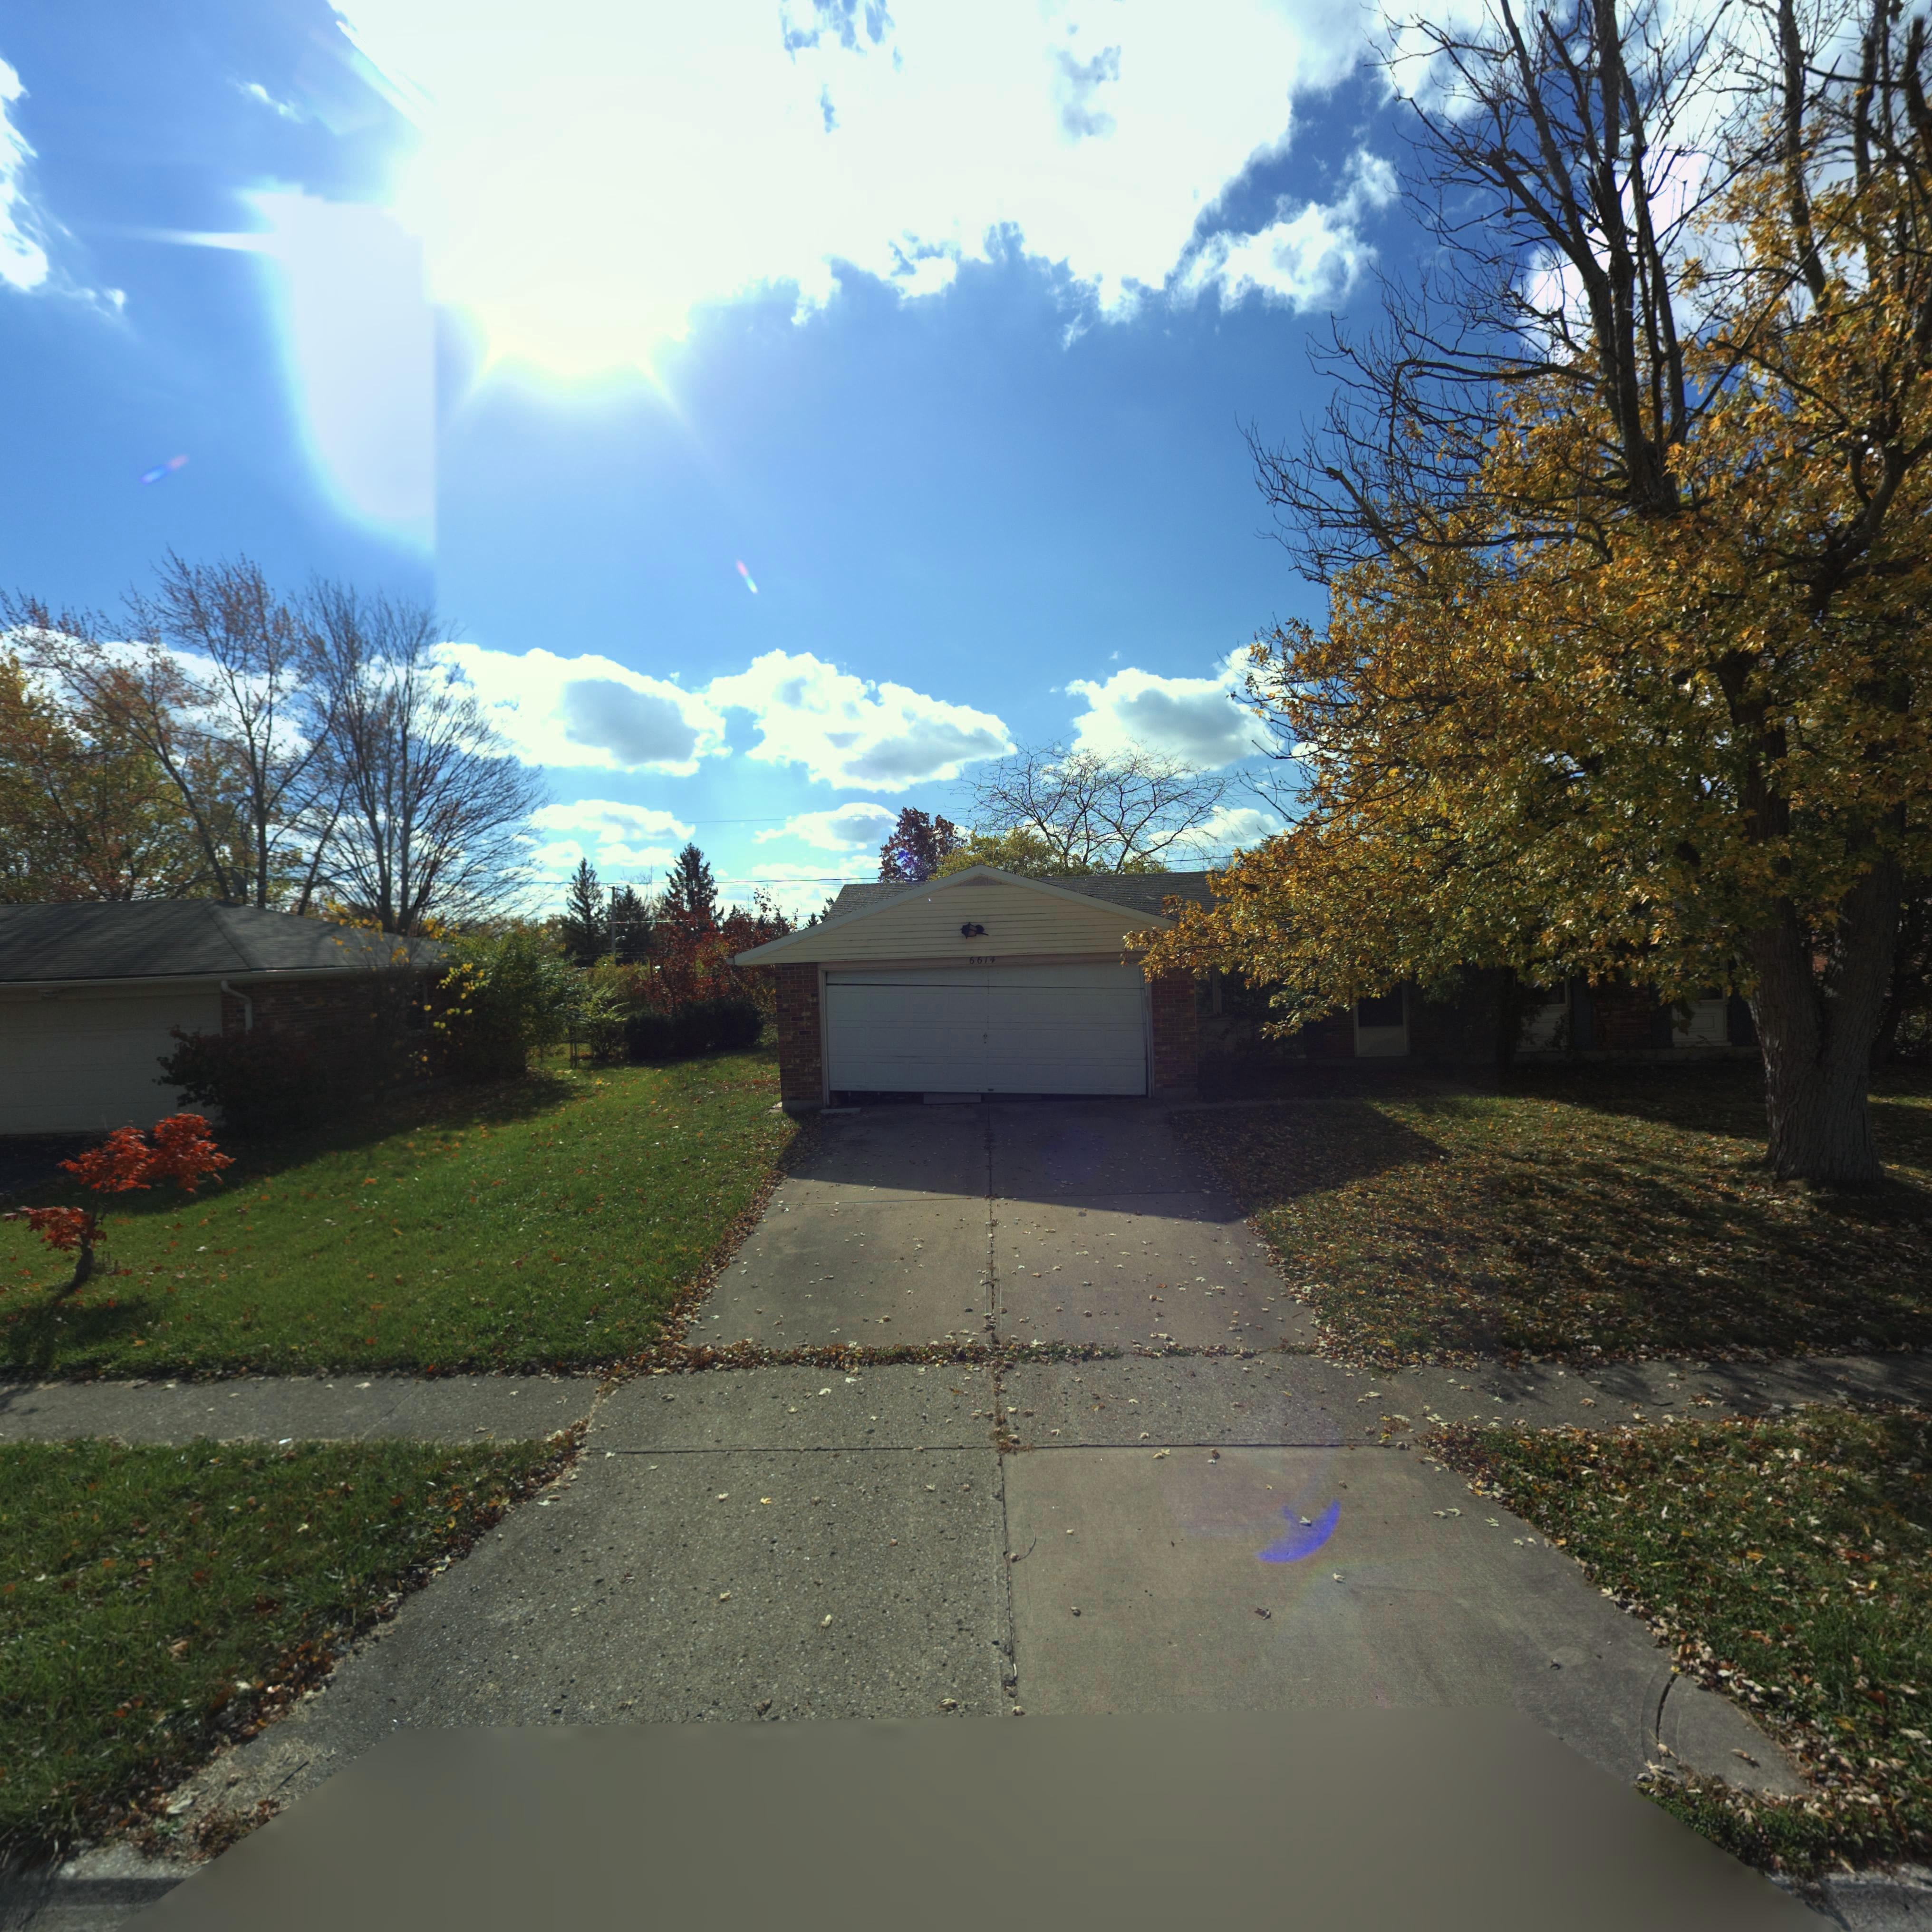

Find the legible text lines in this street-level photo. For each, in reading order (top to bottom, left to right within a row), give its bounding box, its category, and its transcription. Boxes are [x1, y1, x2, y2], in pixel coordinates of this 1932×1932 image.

[969, 956, 995, 965] StreetNumber: 6614